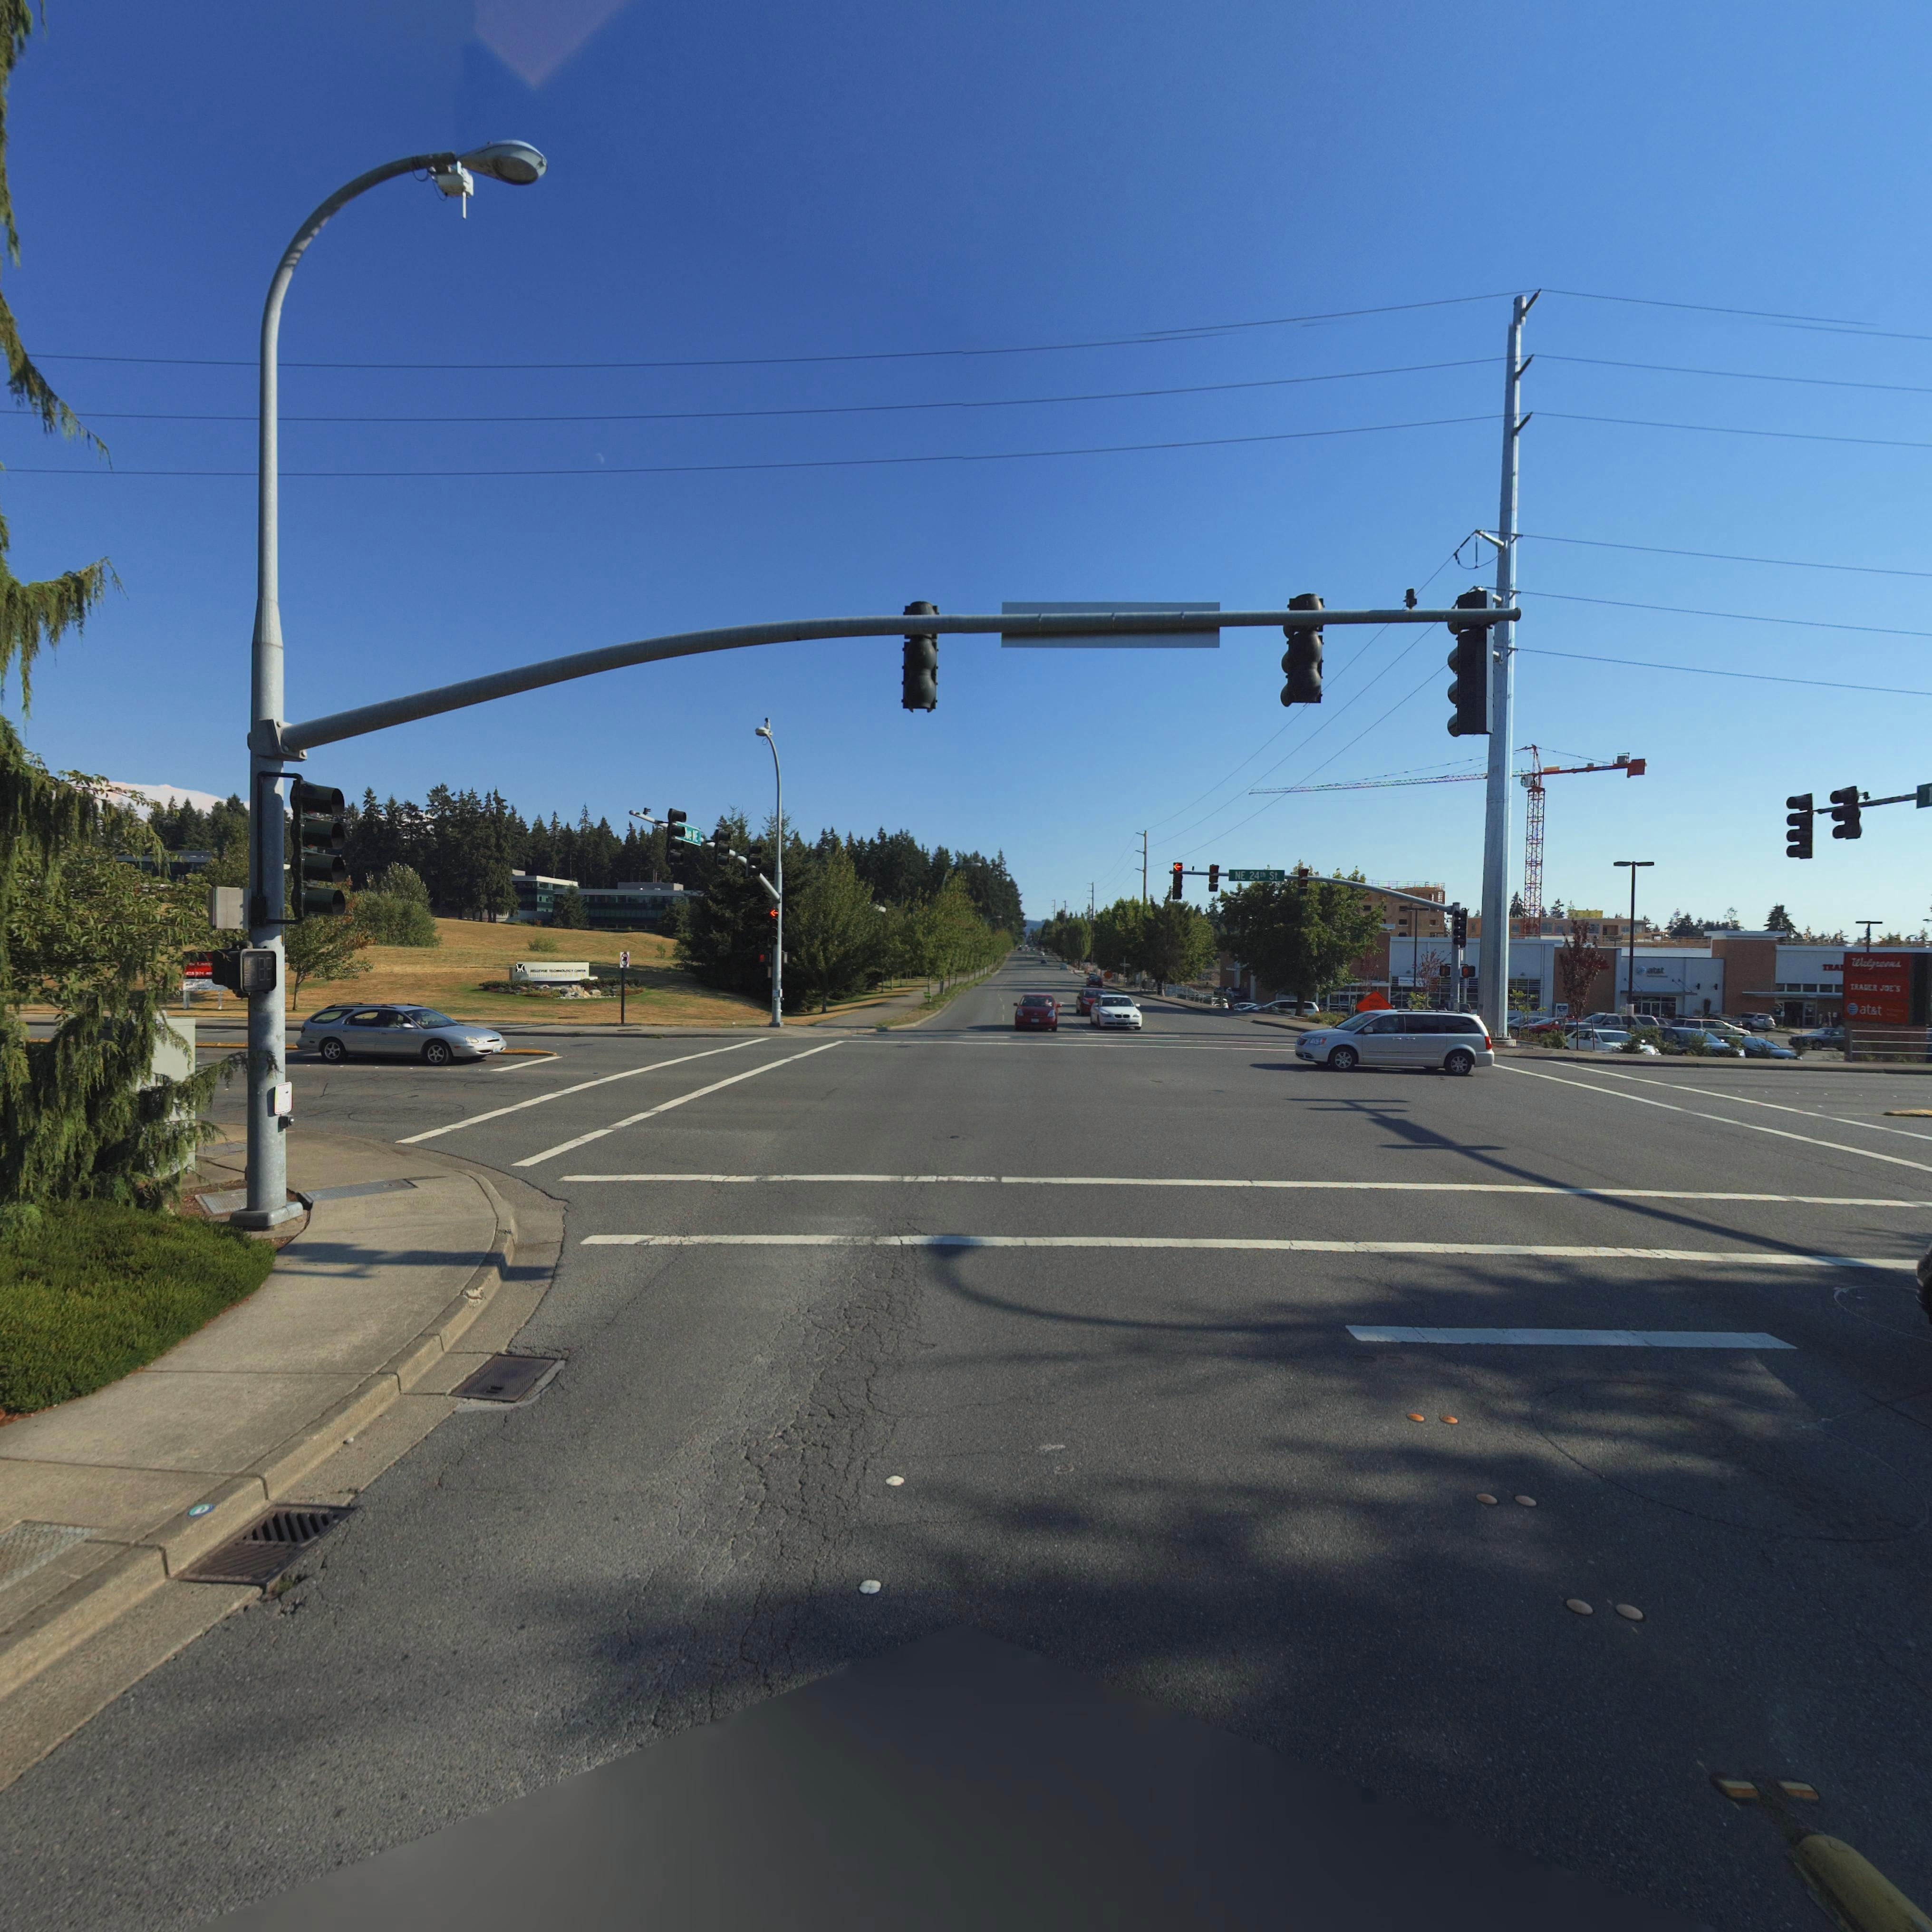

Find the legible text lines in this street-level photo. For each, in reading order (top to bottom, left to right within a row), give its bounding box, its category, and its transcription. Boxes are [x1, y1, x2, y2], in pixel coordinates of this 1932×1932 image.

[688, 828, 698, 843] StreetName: e*E
[1236, 871, 1278, 879] StreetName: NE 24th St
[1648, 967, 1664, 974] BusinessName: at*t
[1822, 963, 1843, 971] BusinessName: TRA*
[1851, 957, 1902, 970] BusinessName: Walgreens
[1851, 984, 1901, 992] BusinessName: **A**R JOE*S
[1859, 1005, 1882, 1015] BusinessName: at*t